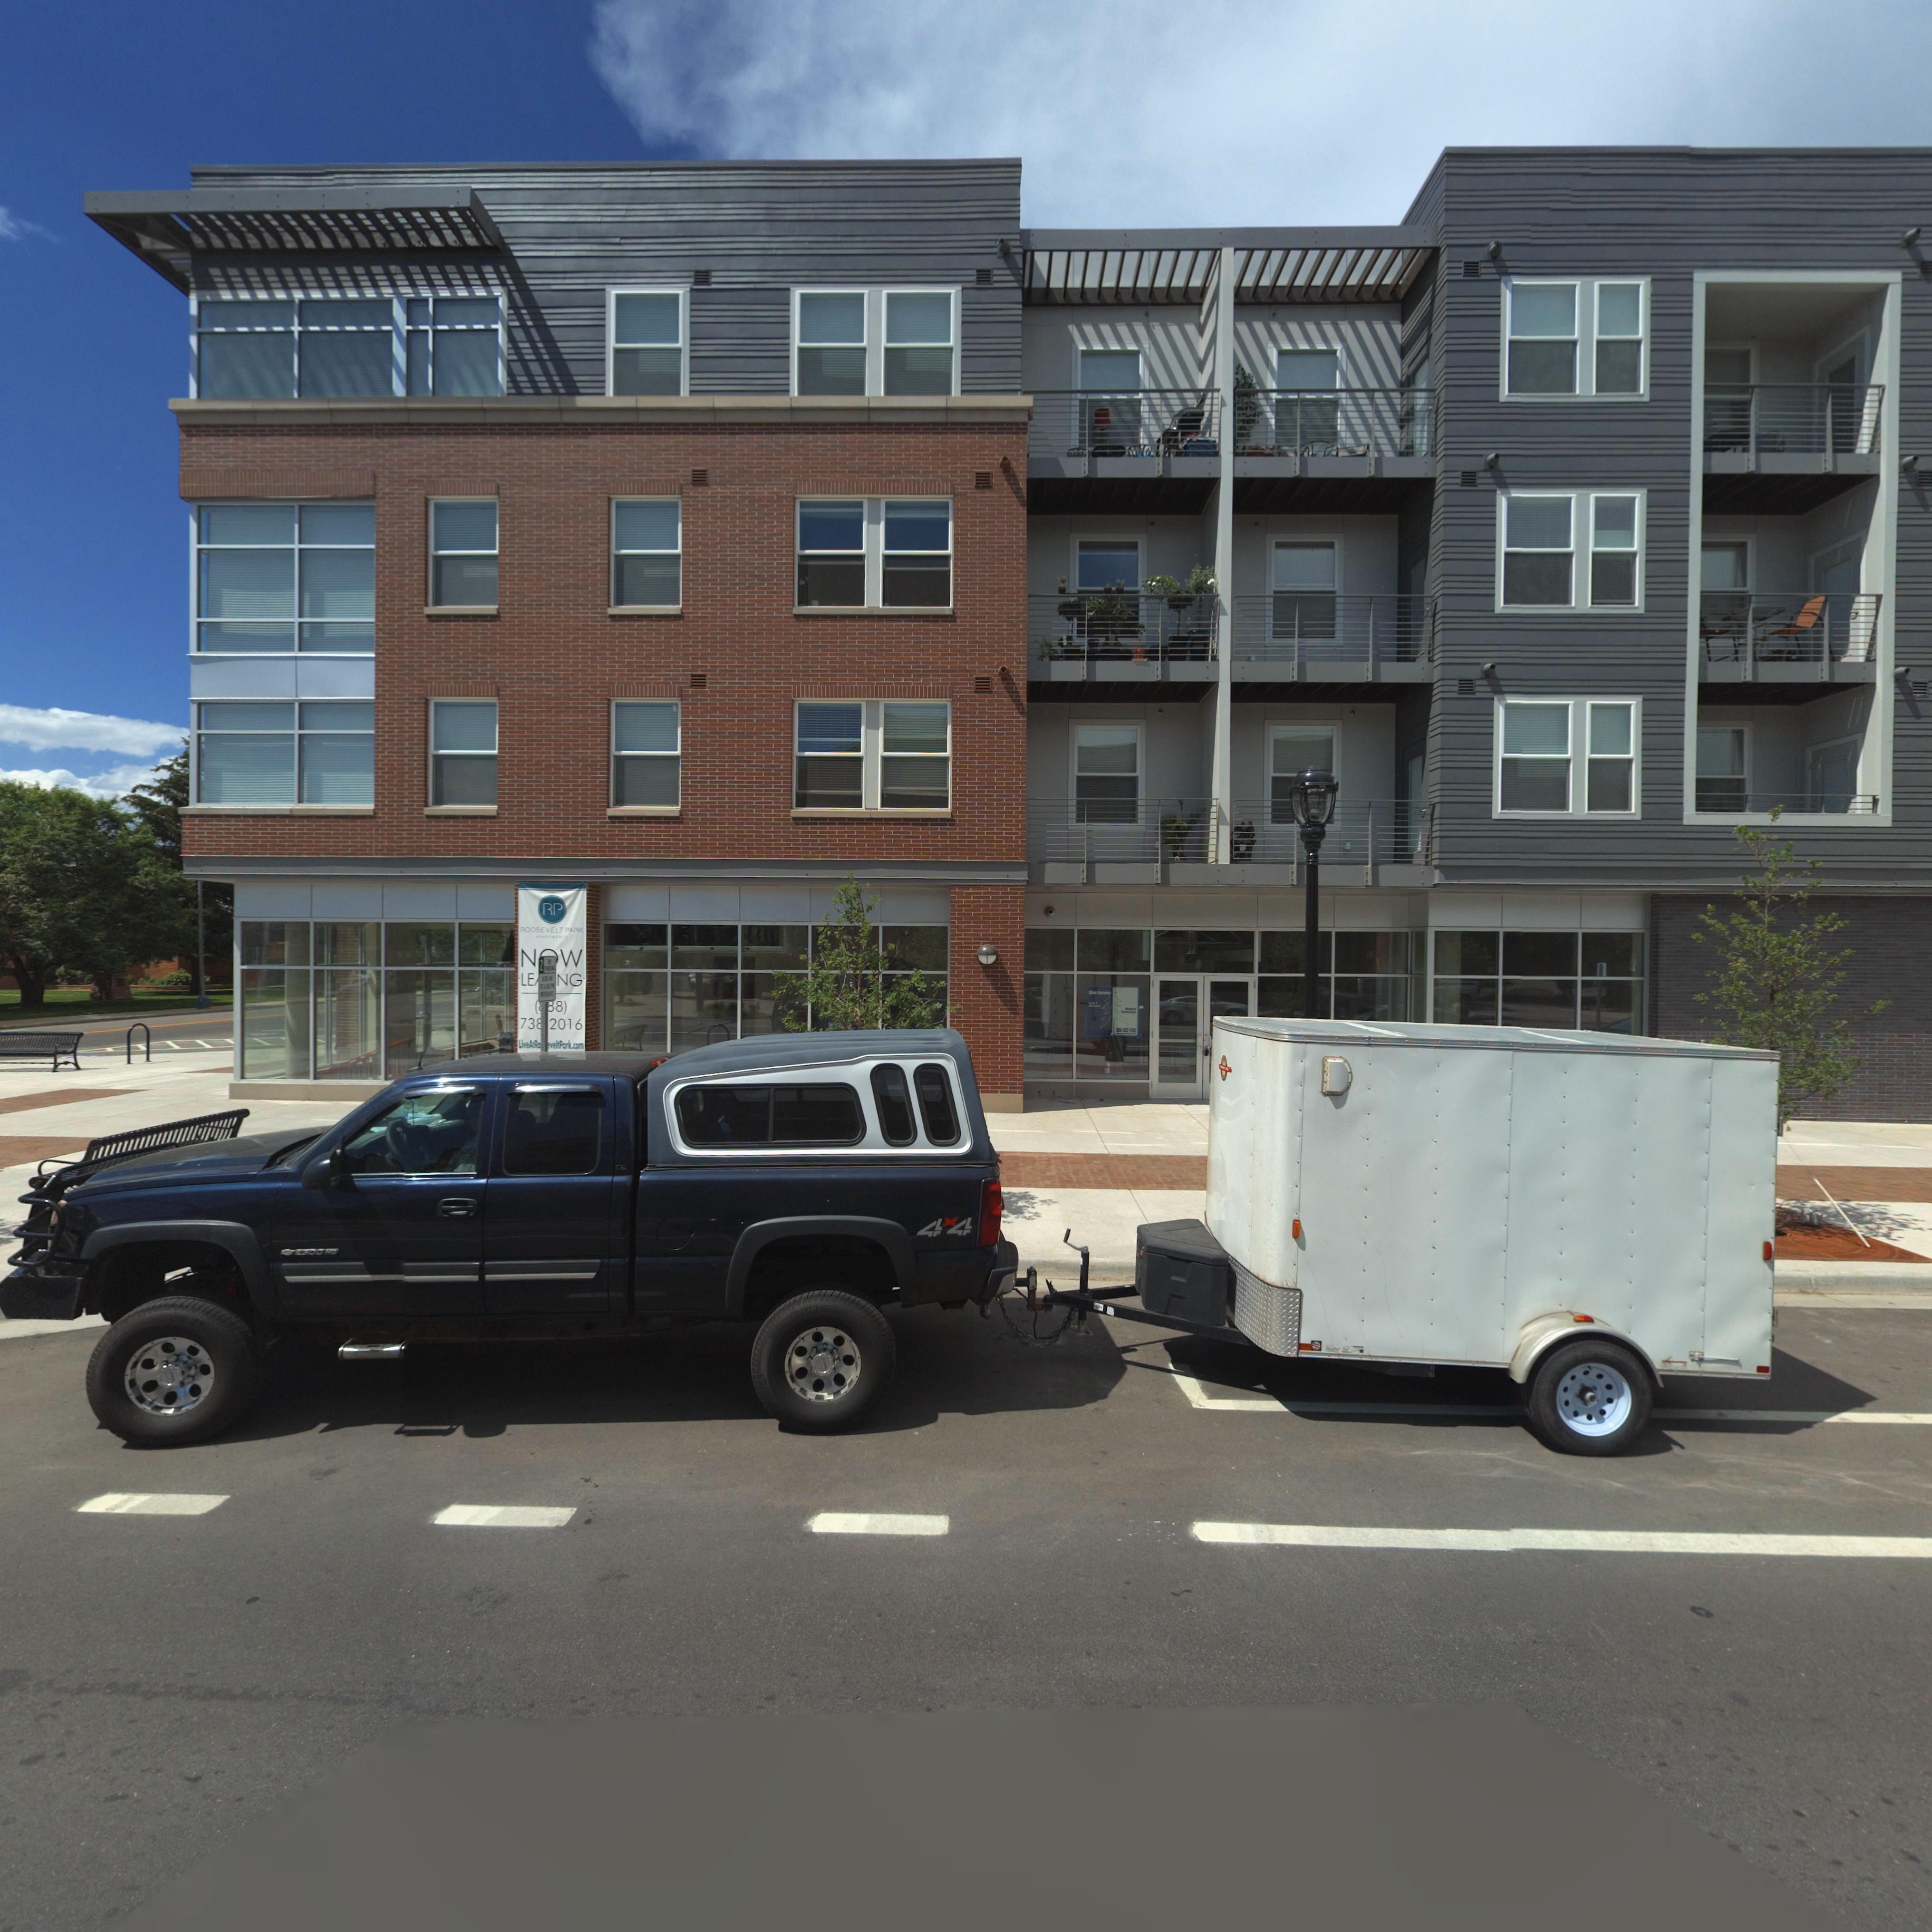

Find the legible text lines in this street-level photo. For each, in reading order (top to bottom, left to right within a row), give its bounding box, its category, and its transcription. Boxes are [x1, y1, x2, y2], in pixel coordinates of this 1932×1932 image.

[520, 926, 584, 933] BusinessName: ROOSEVELT PARK